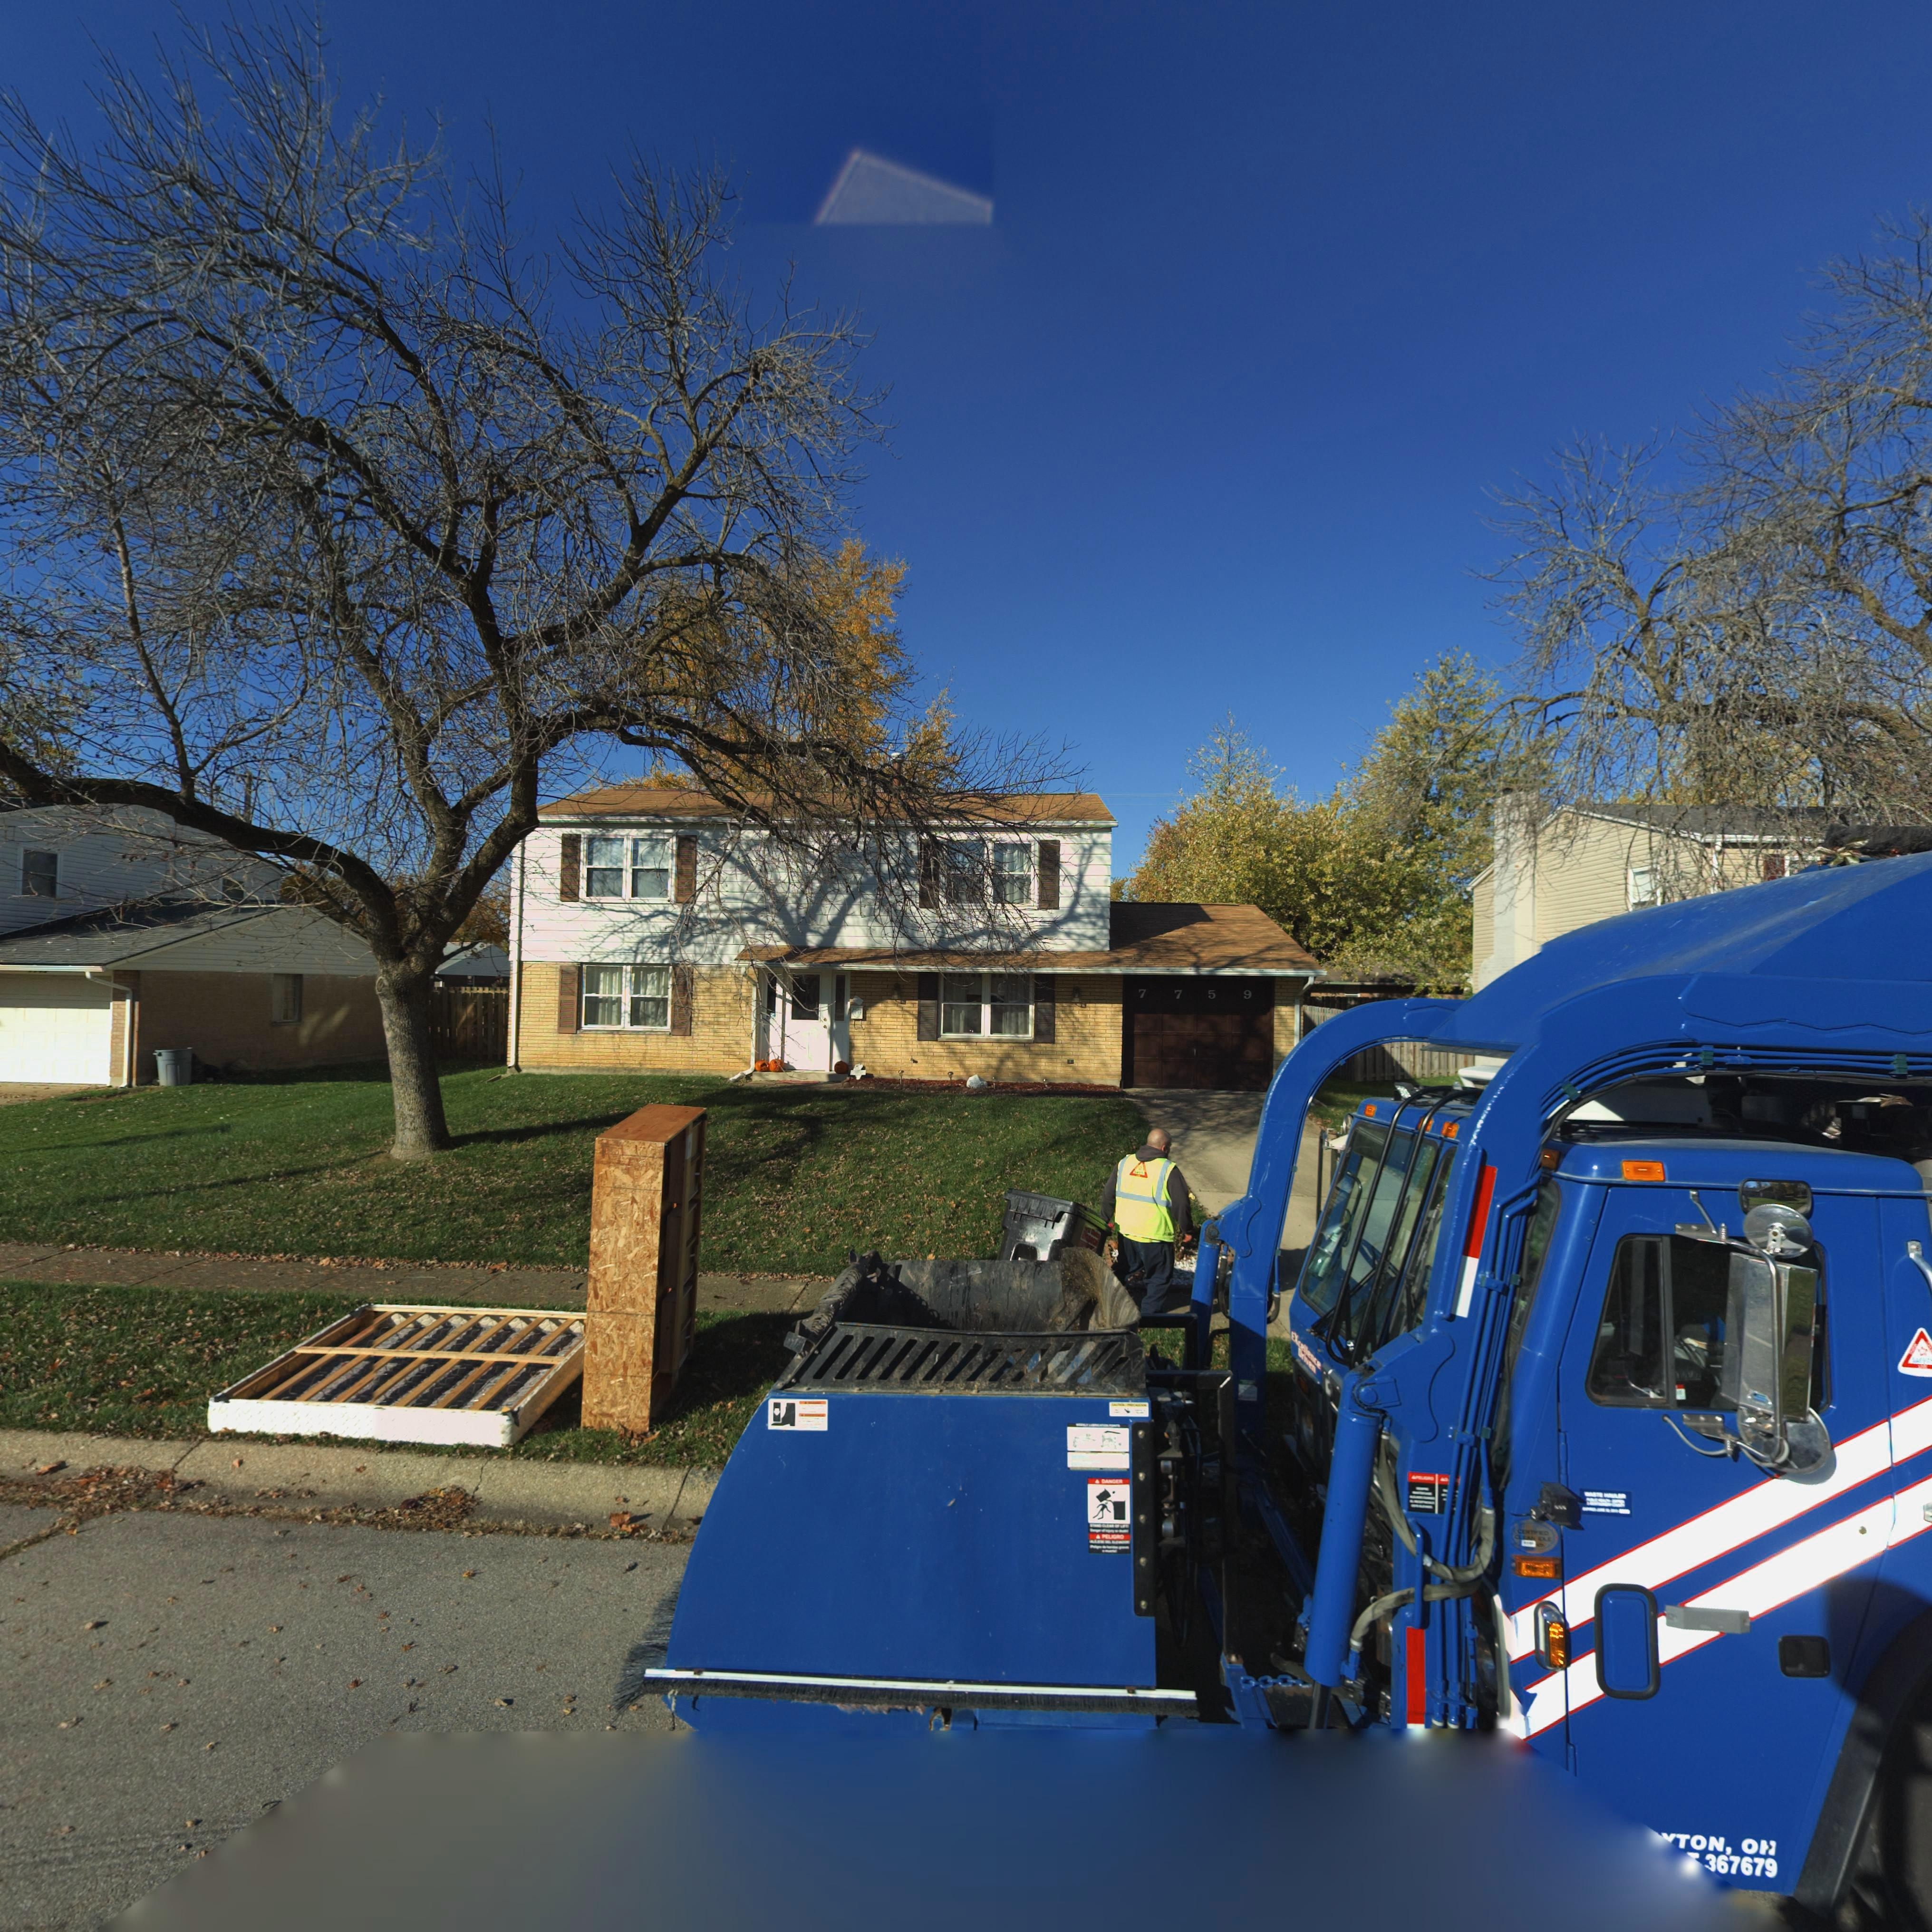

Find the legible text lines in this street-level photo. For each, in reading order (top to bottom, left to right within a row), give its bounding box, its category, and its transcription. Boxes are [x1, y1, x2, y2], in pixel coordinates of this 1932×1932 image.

[1138, 988, 1252, 1000] StreetNumber: 7759